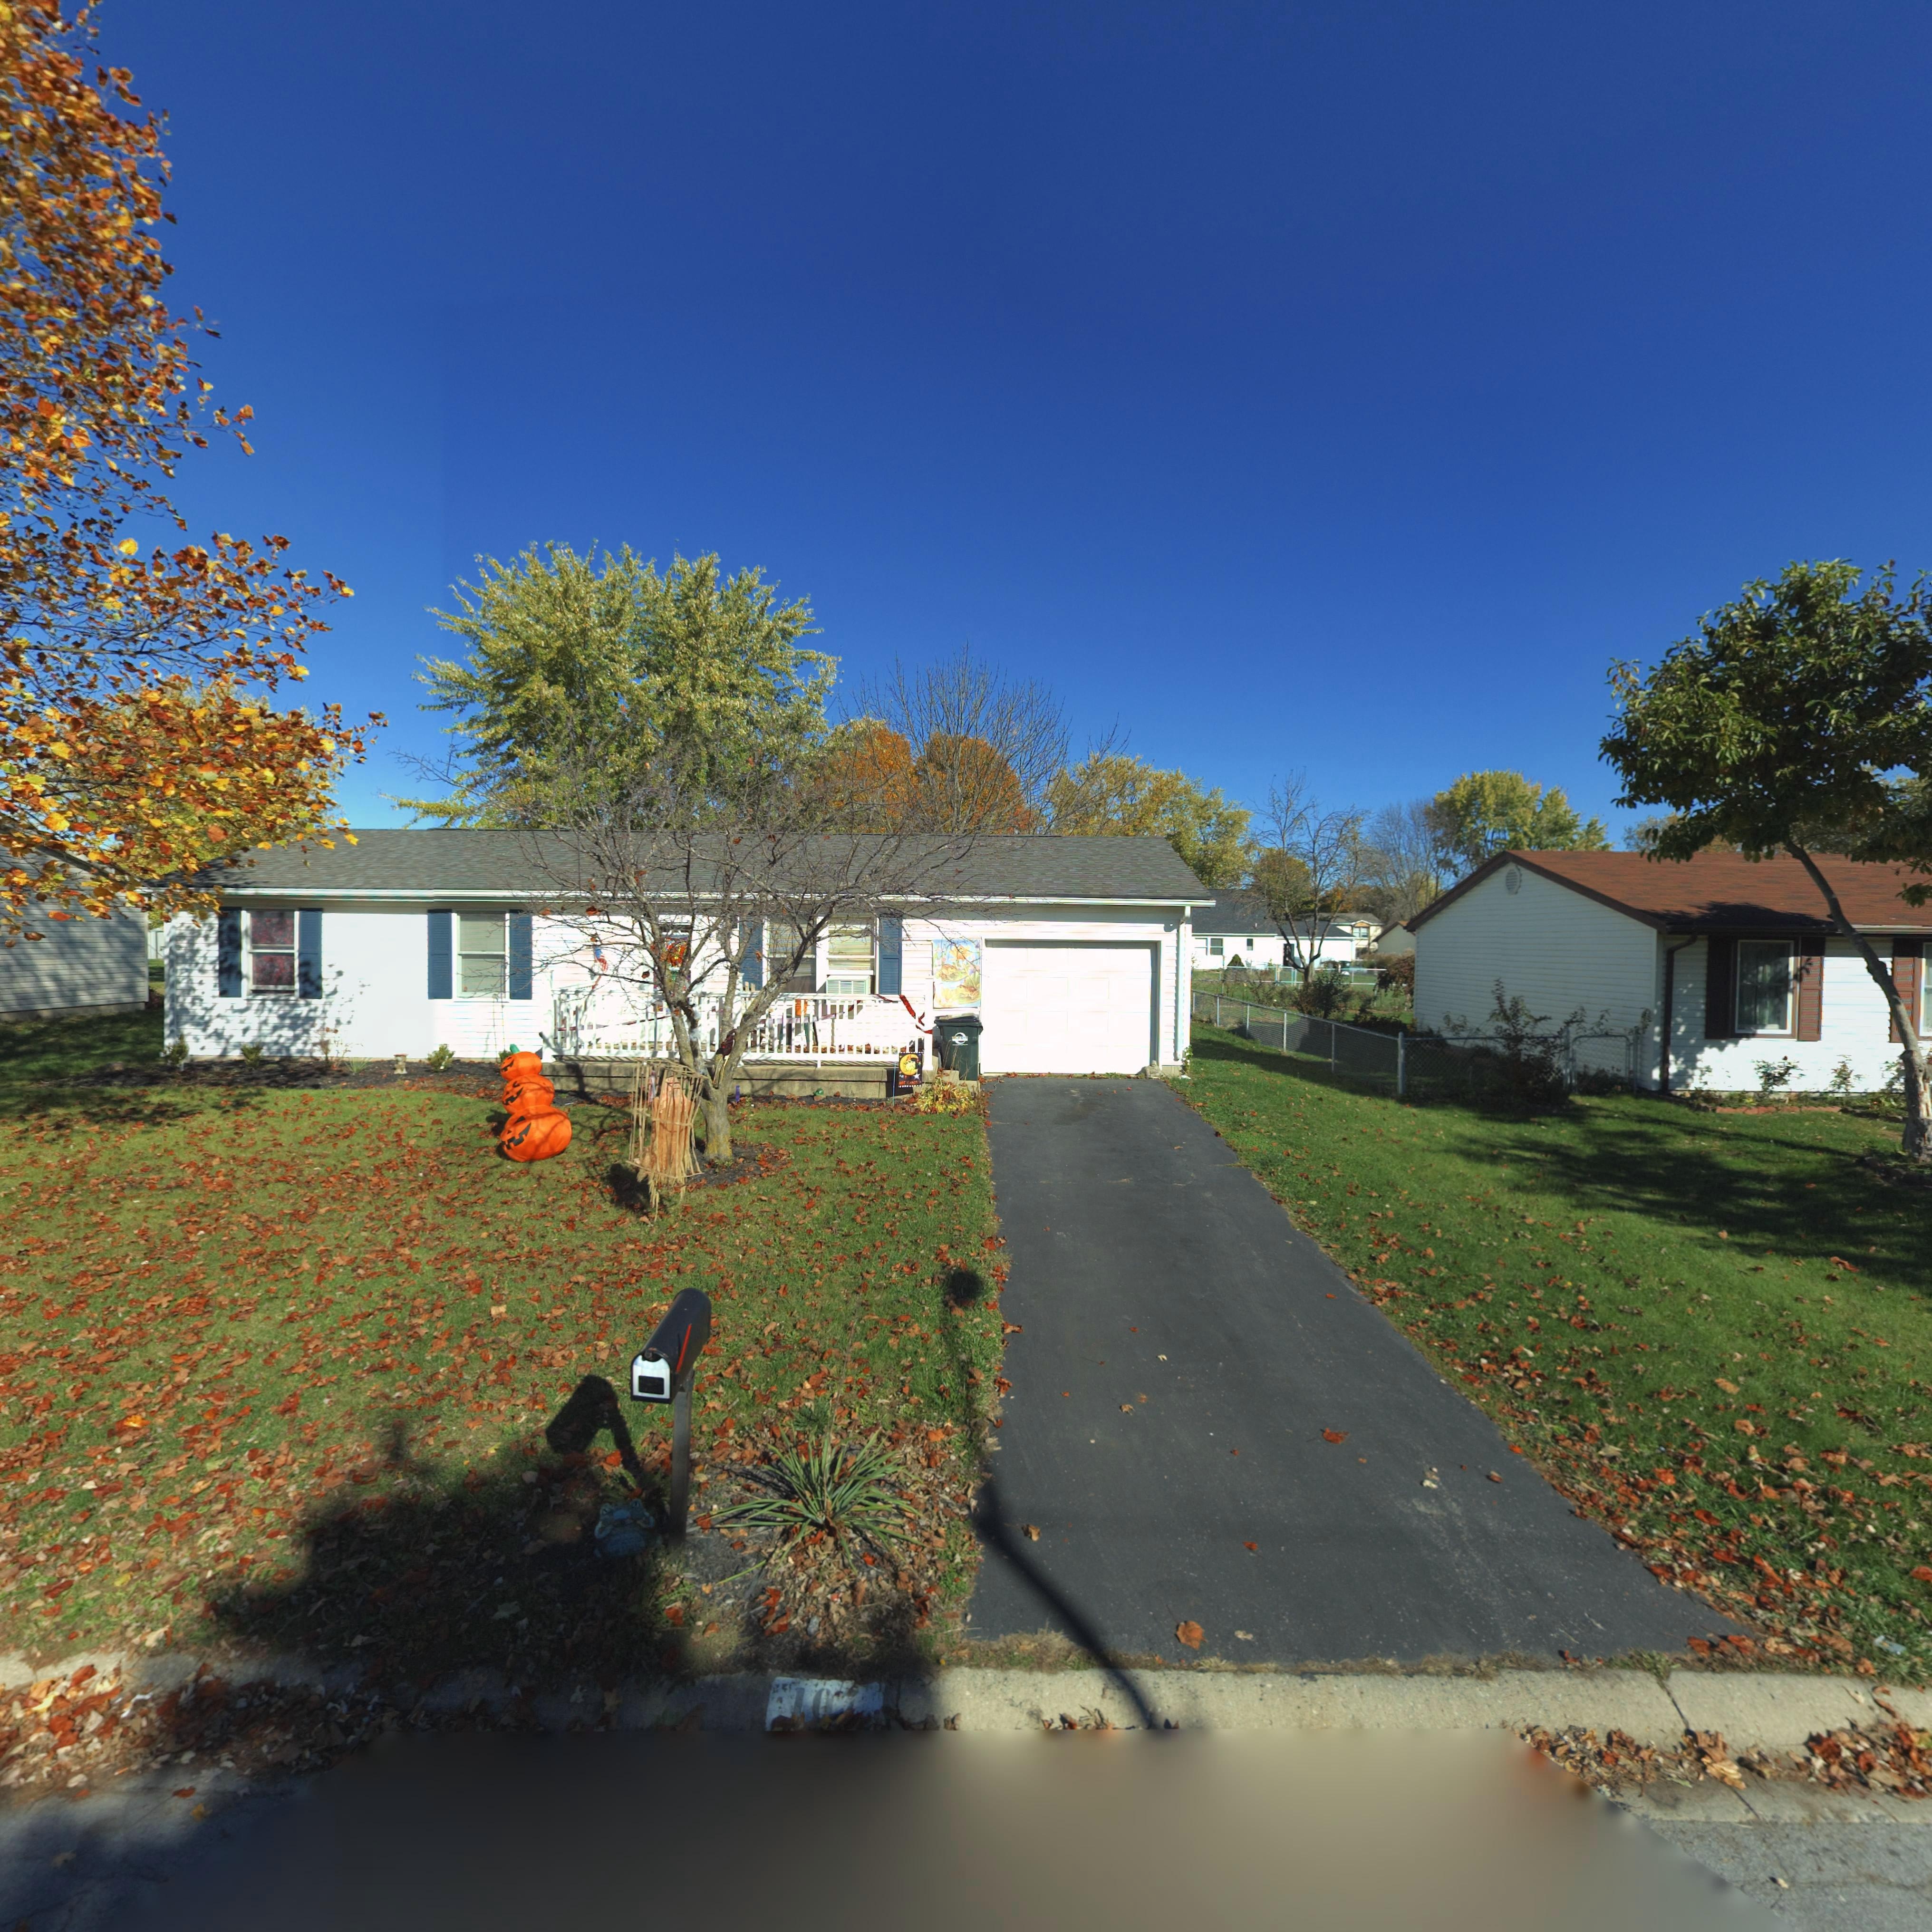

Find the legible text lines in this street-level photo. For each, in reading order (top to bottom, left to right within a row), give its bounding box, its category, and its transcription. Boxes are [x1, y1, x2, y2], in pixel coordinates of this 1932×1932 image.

[789, 1685, 836, 1722] StreetNumber: 10